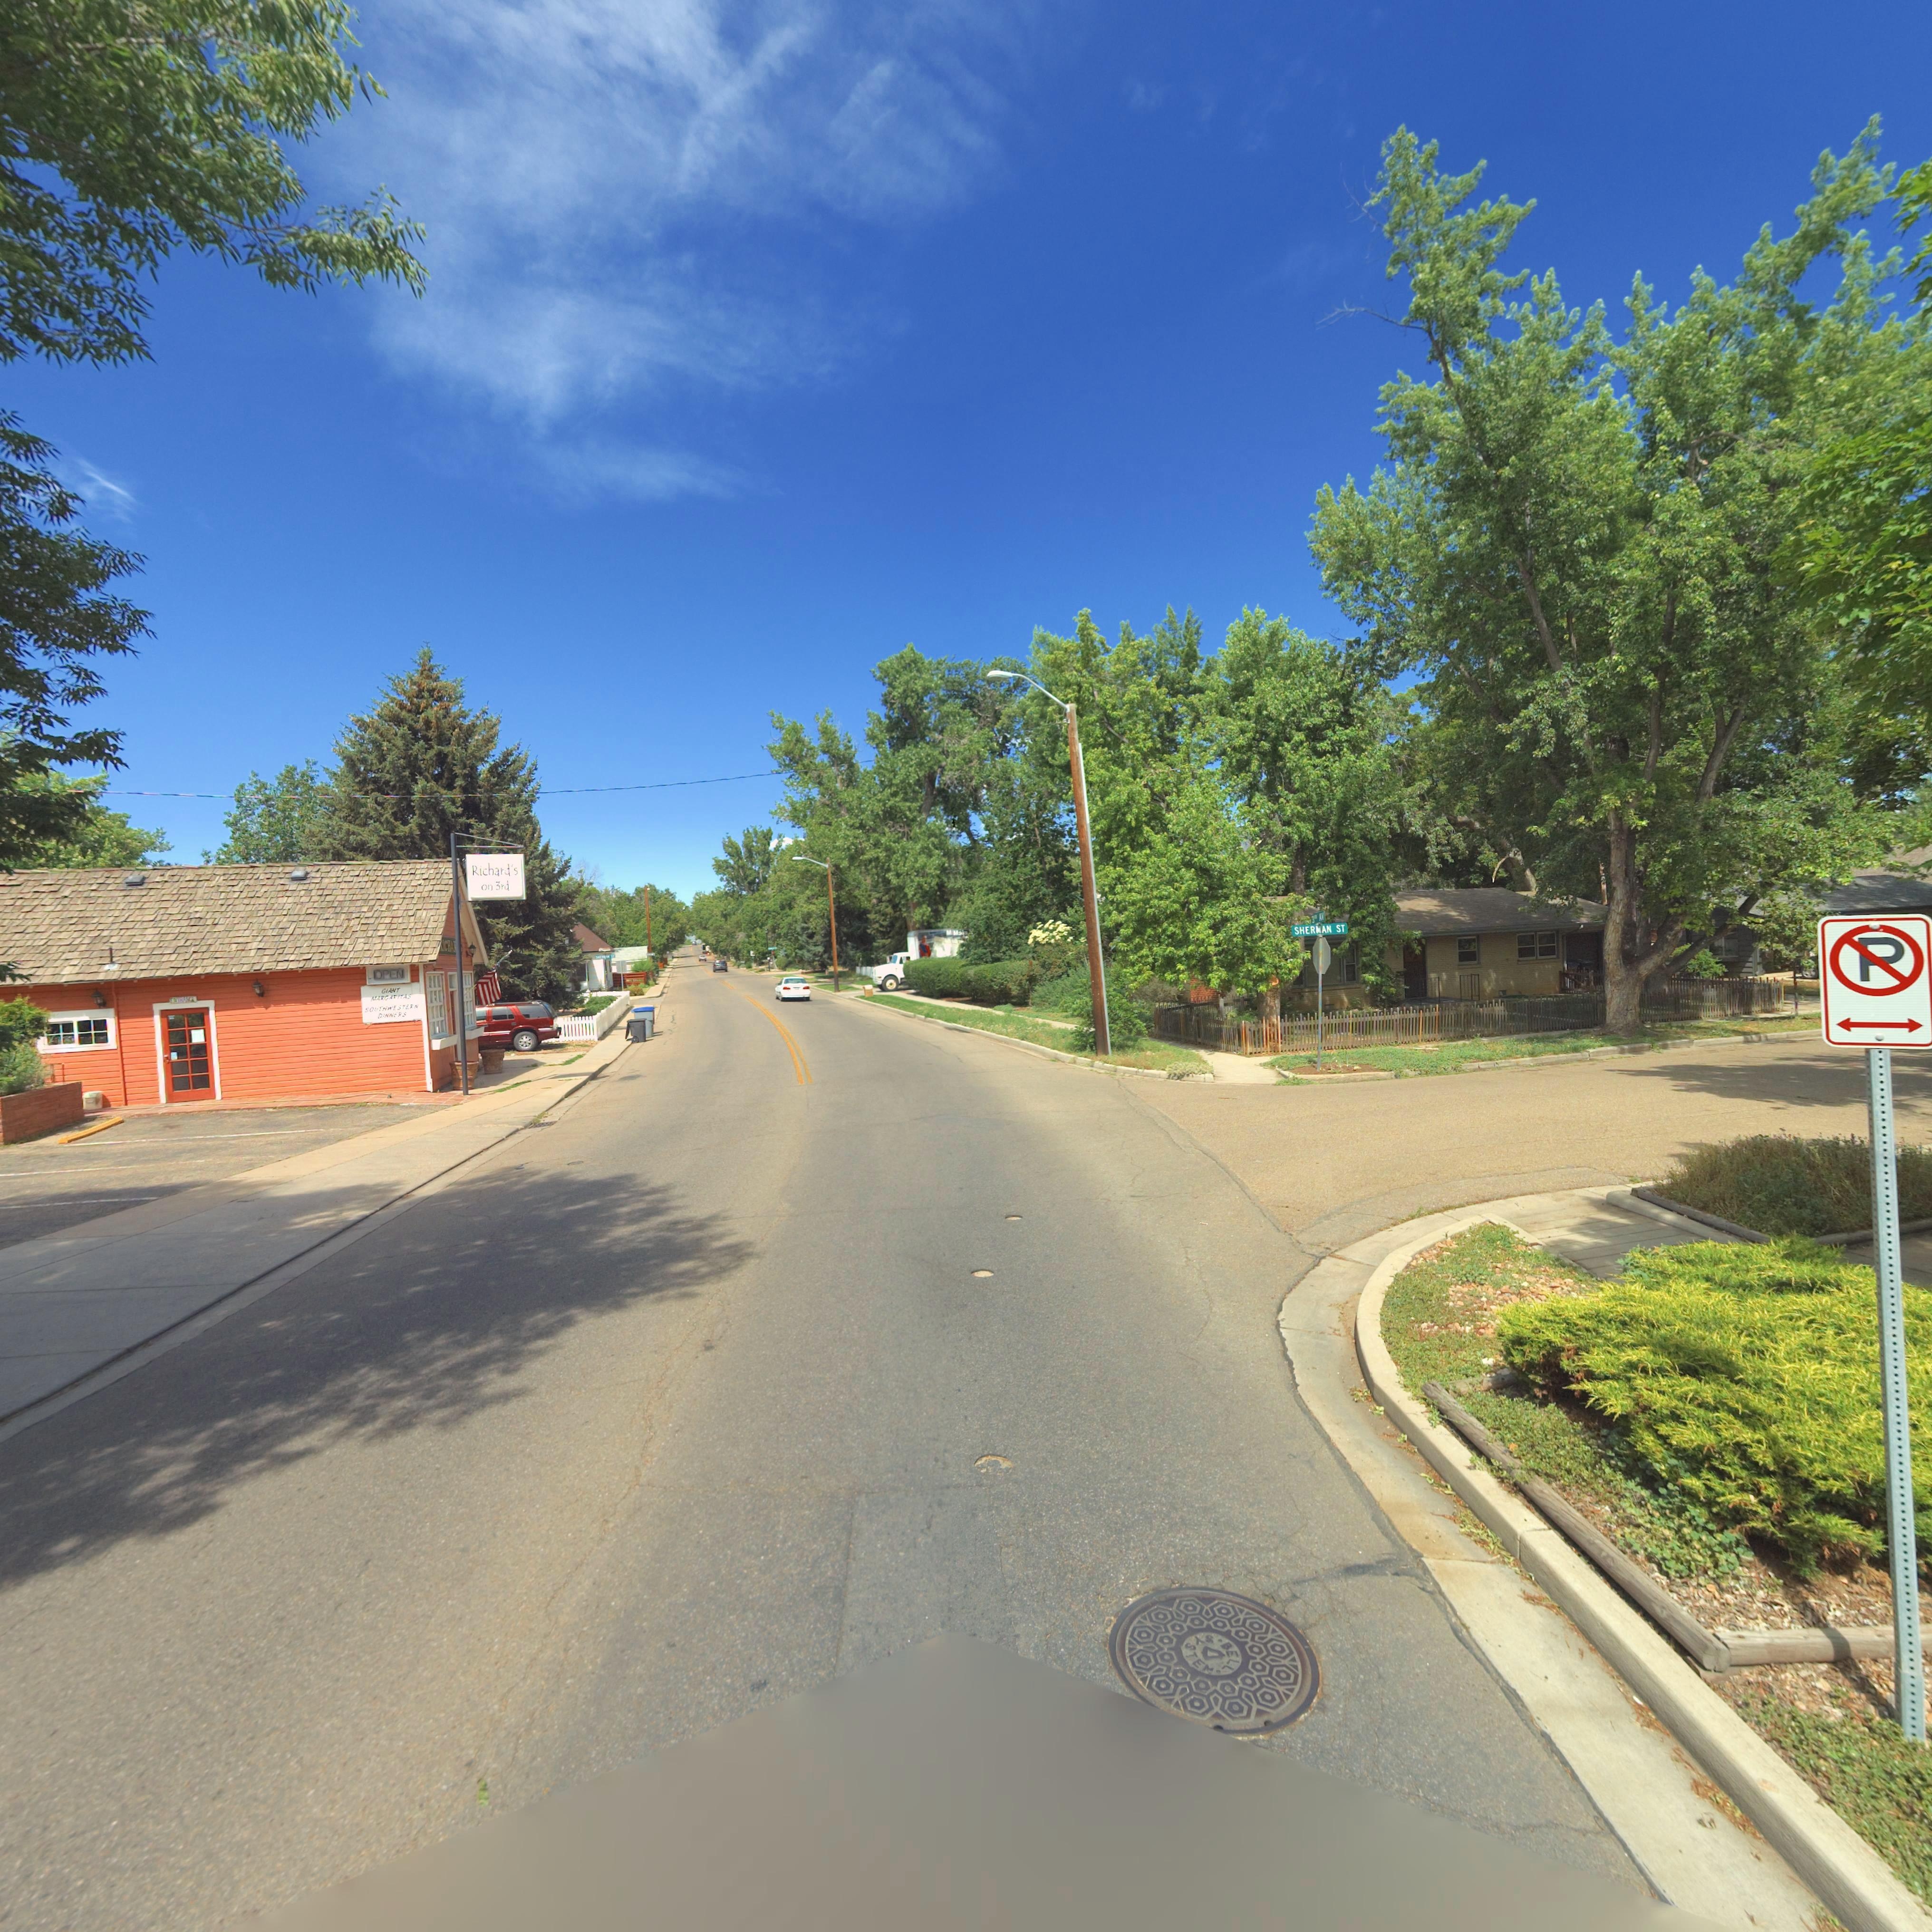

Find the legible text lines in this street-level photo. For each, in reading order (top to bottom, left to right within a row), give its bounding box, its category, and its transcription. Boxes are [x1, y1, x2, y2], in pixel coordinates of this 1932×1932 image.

[472, 862, 518, 876] BusinessName: Richard's
[481, 880, 509, 890] BusinessName: on 3rd
[1311, 912, 1323, 924] StreetName: 3** AV
[1294, 924, 1345, 935] StreetName: SHERMAN ST
[440, 939, 456, 952] BusinessName: *IC*A*